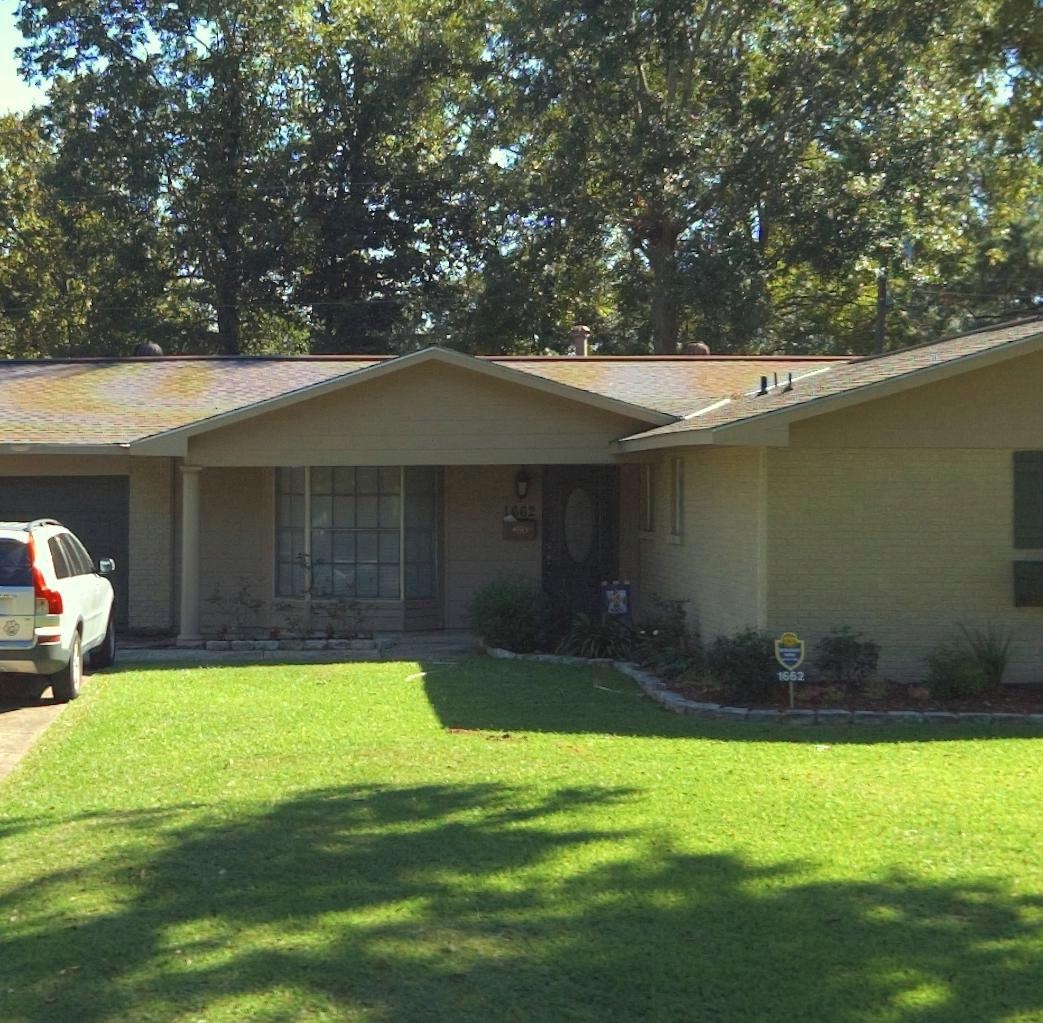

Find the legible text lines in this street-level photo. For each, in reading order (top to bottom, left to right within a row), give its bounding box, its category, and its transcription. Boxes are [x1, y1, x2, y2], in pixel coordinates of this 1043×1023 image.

[503, 504, 537, 518] StreetNumber: 1662
[776, 669, 807, 683] StreetNumber: 1662